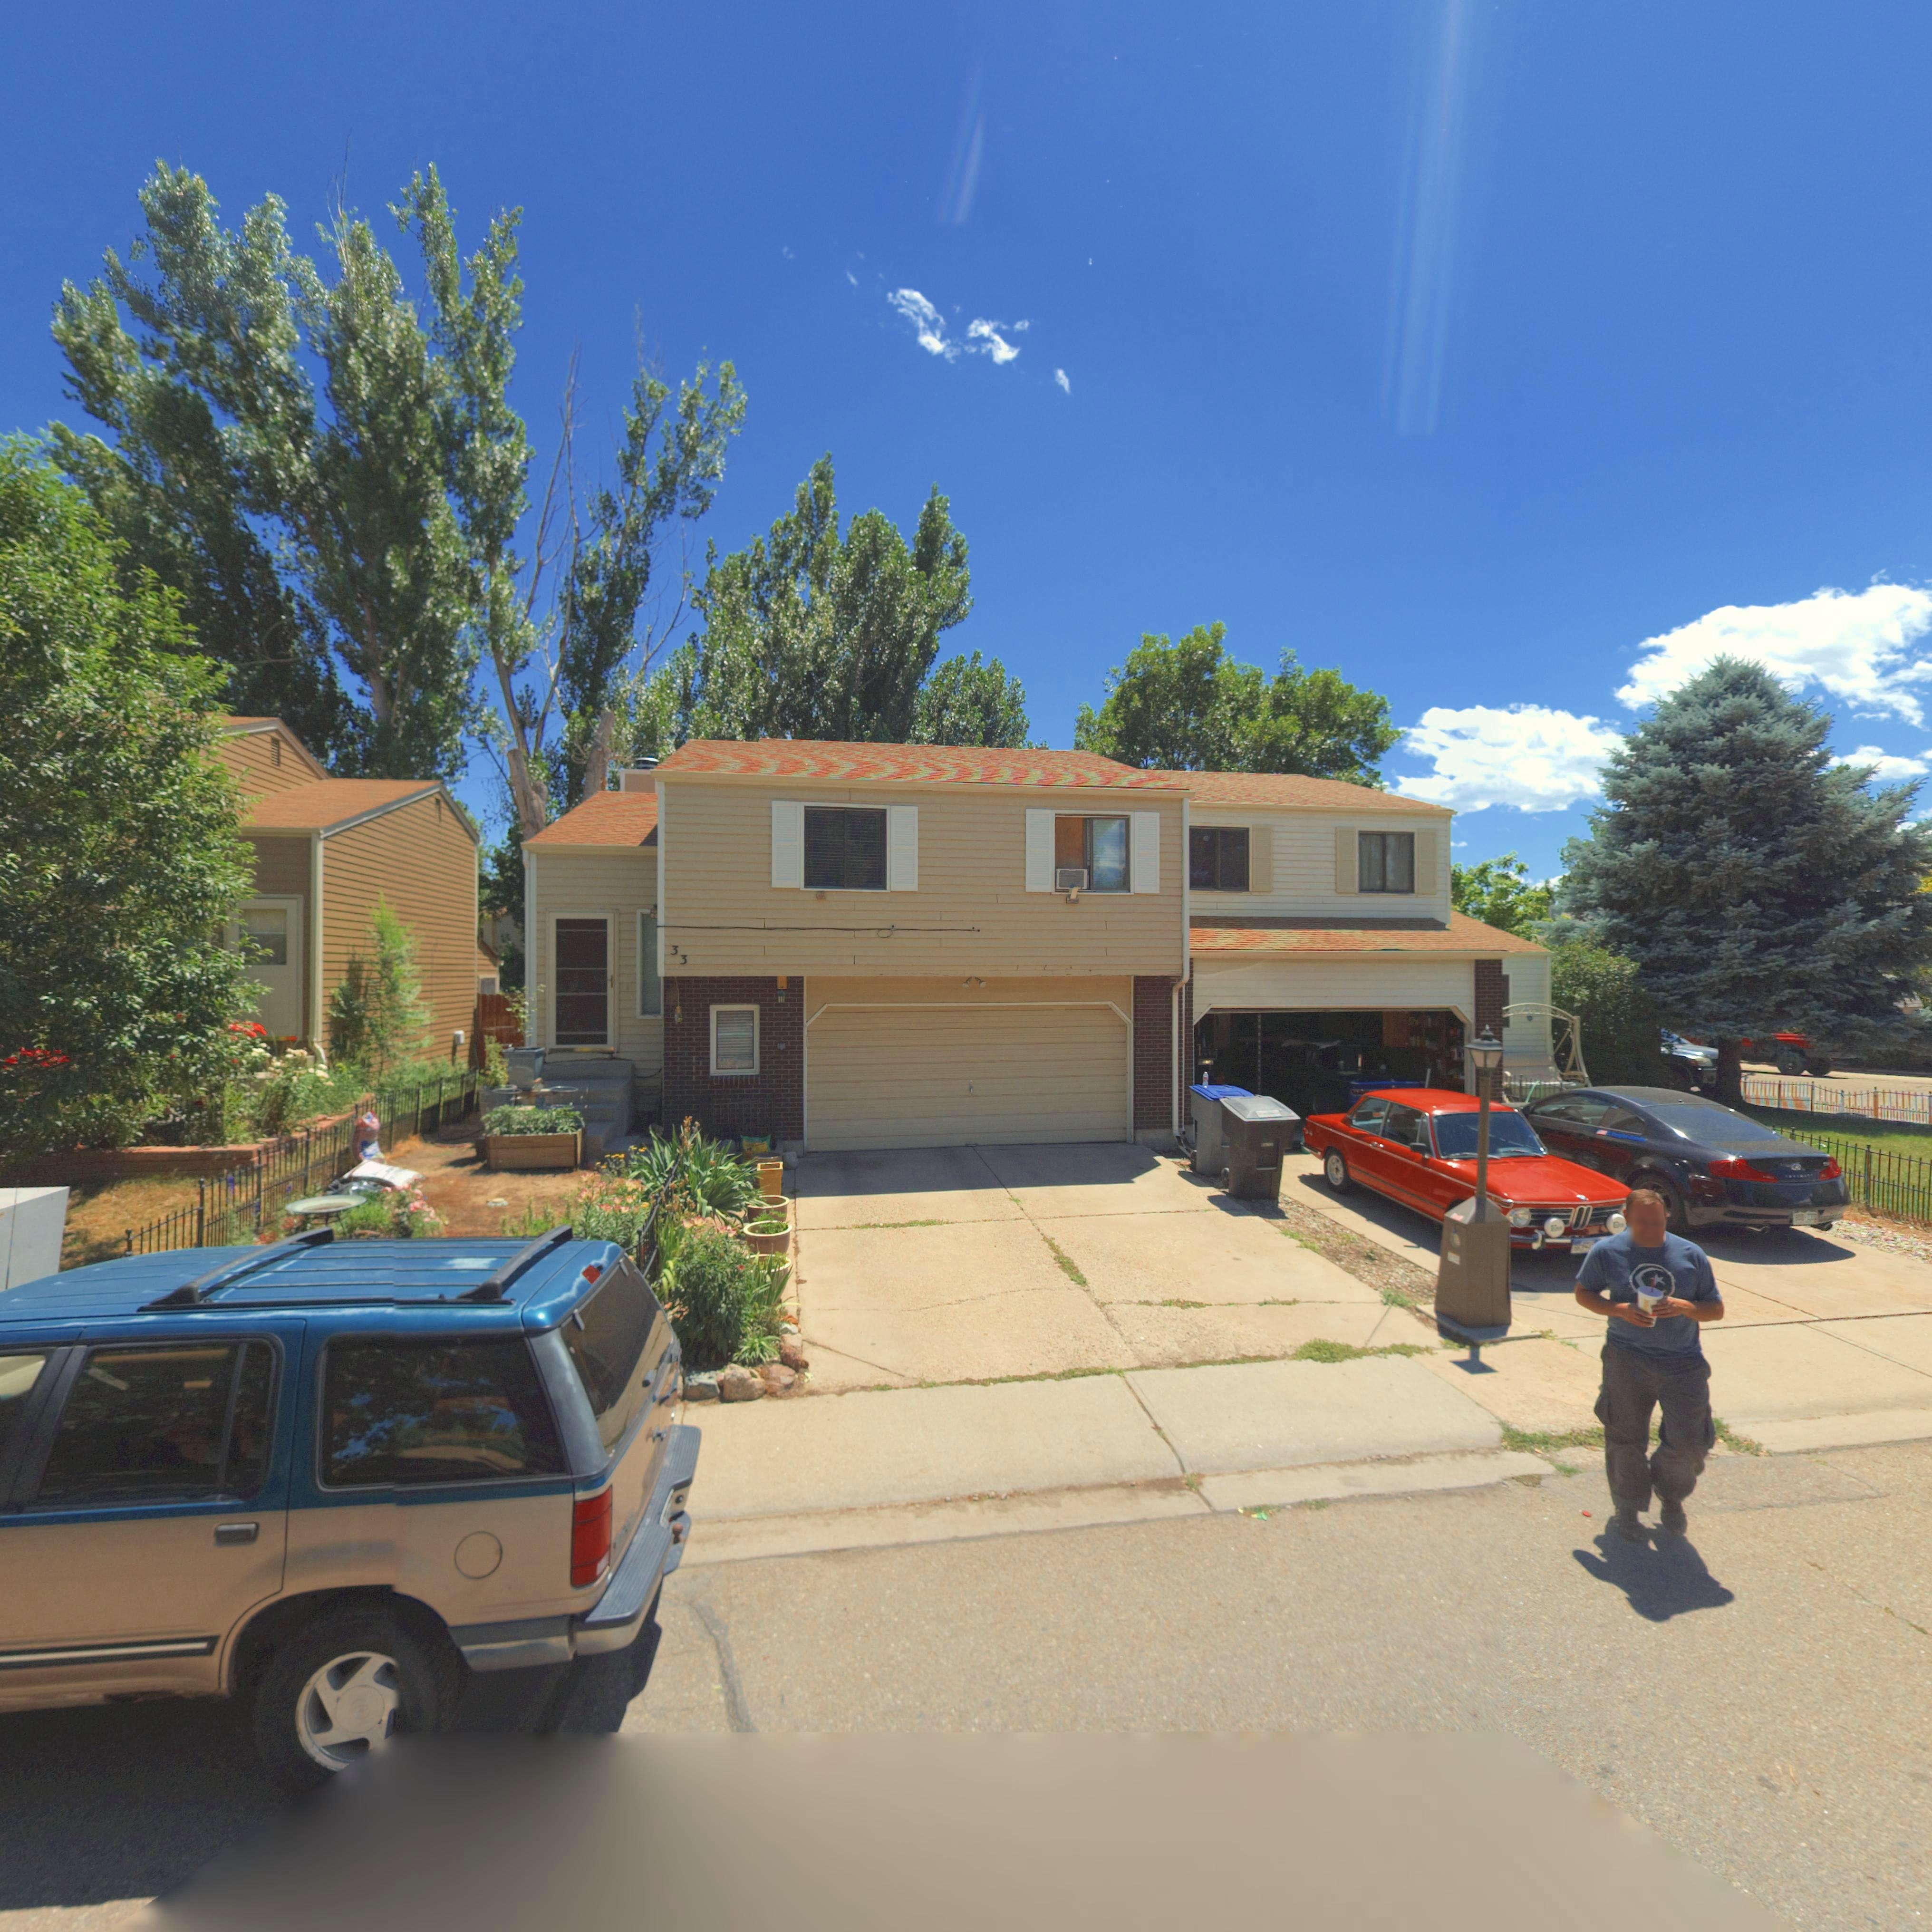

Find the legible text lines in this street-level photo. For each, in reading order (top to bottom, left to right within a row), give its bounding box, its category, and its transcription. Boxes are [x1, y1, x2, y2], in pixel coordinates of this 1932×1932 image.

[669, 945, 688, 965] StreetNumber: 33